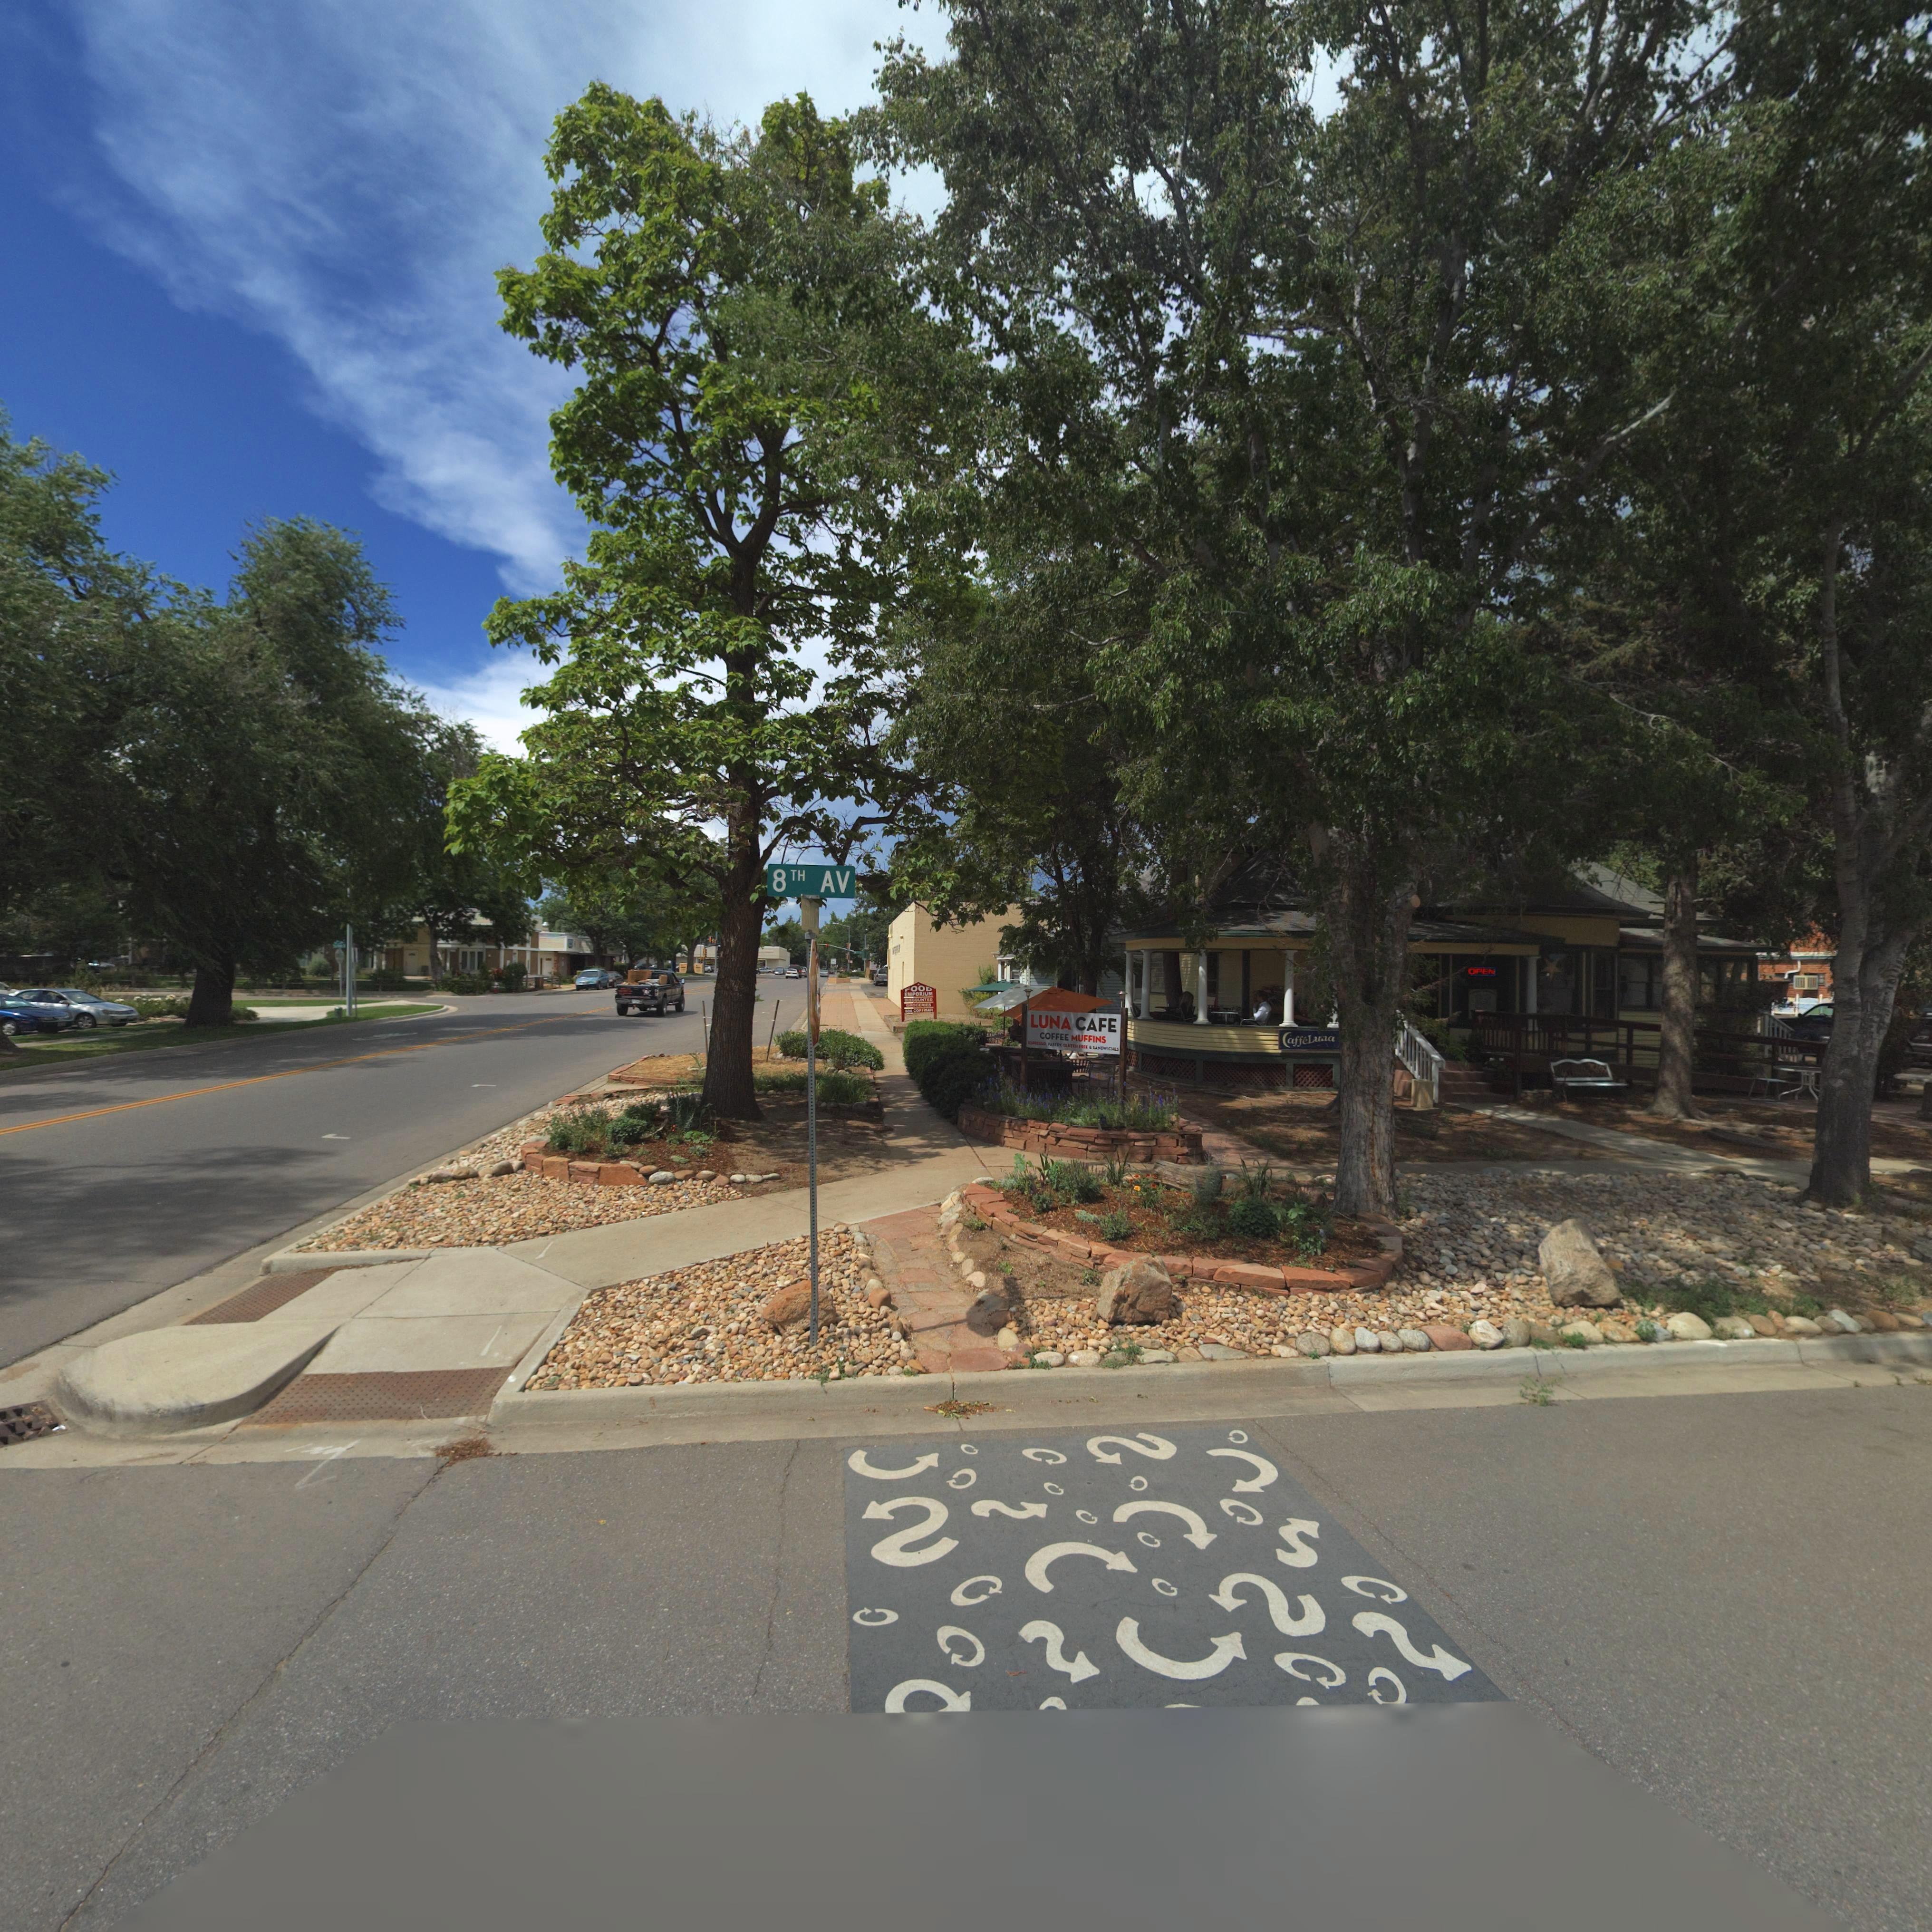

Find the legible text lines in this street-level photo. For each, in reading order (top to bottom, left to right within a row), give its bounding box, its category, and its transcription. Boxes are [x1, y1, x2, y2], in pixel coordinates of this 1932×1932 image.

[772, 868, 851, 894] StreetName: 8TH AV
[904, 991, 932, 996] BusinessName: EMPORIUM
[904, 985, 932, 992] BusinessName: FOOD
[905, 1009, 912, 1013] StreetNumber: 804
[1029, 1013, 1117, 1034] BusinessName: LUNA CAFE
[1280, 1030, 1335, 1048] BusinessName: Caff*Luna